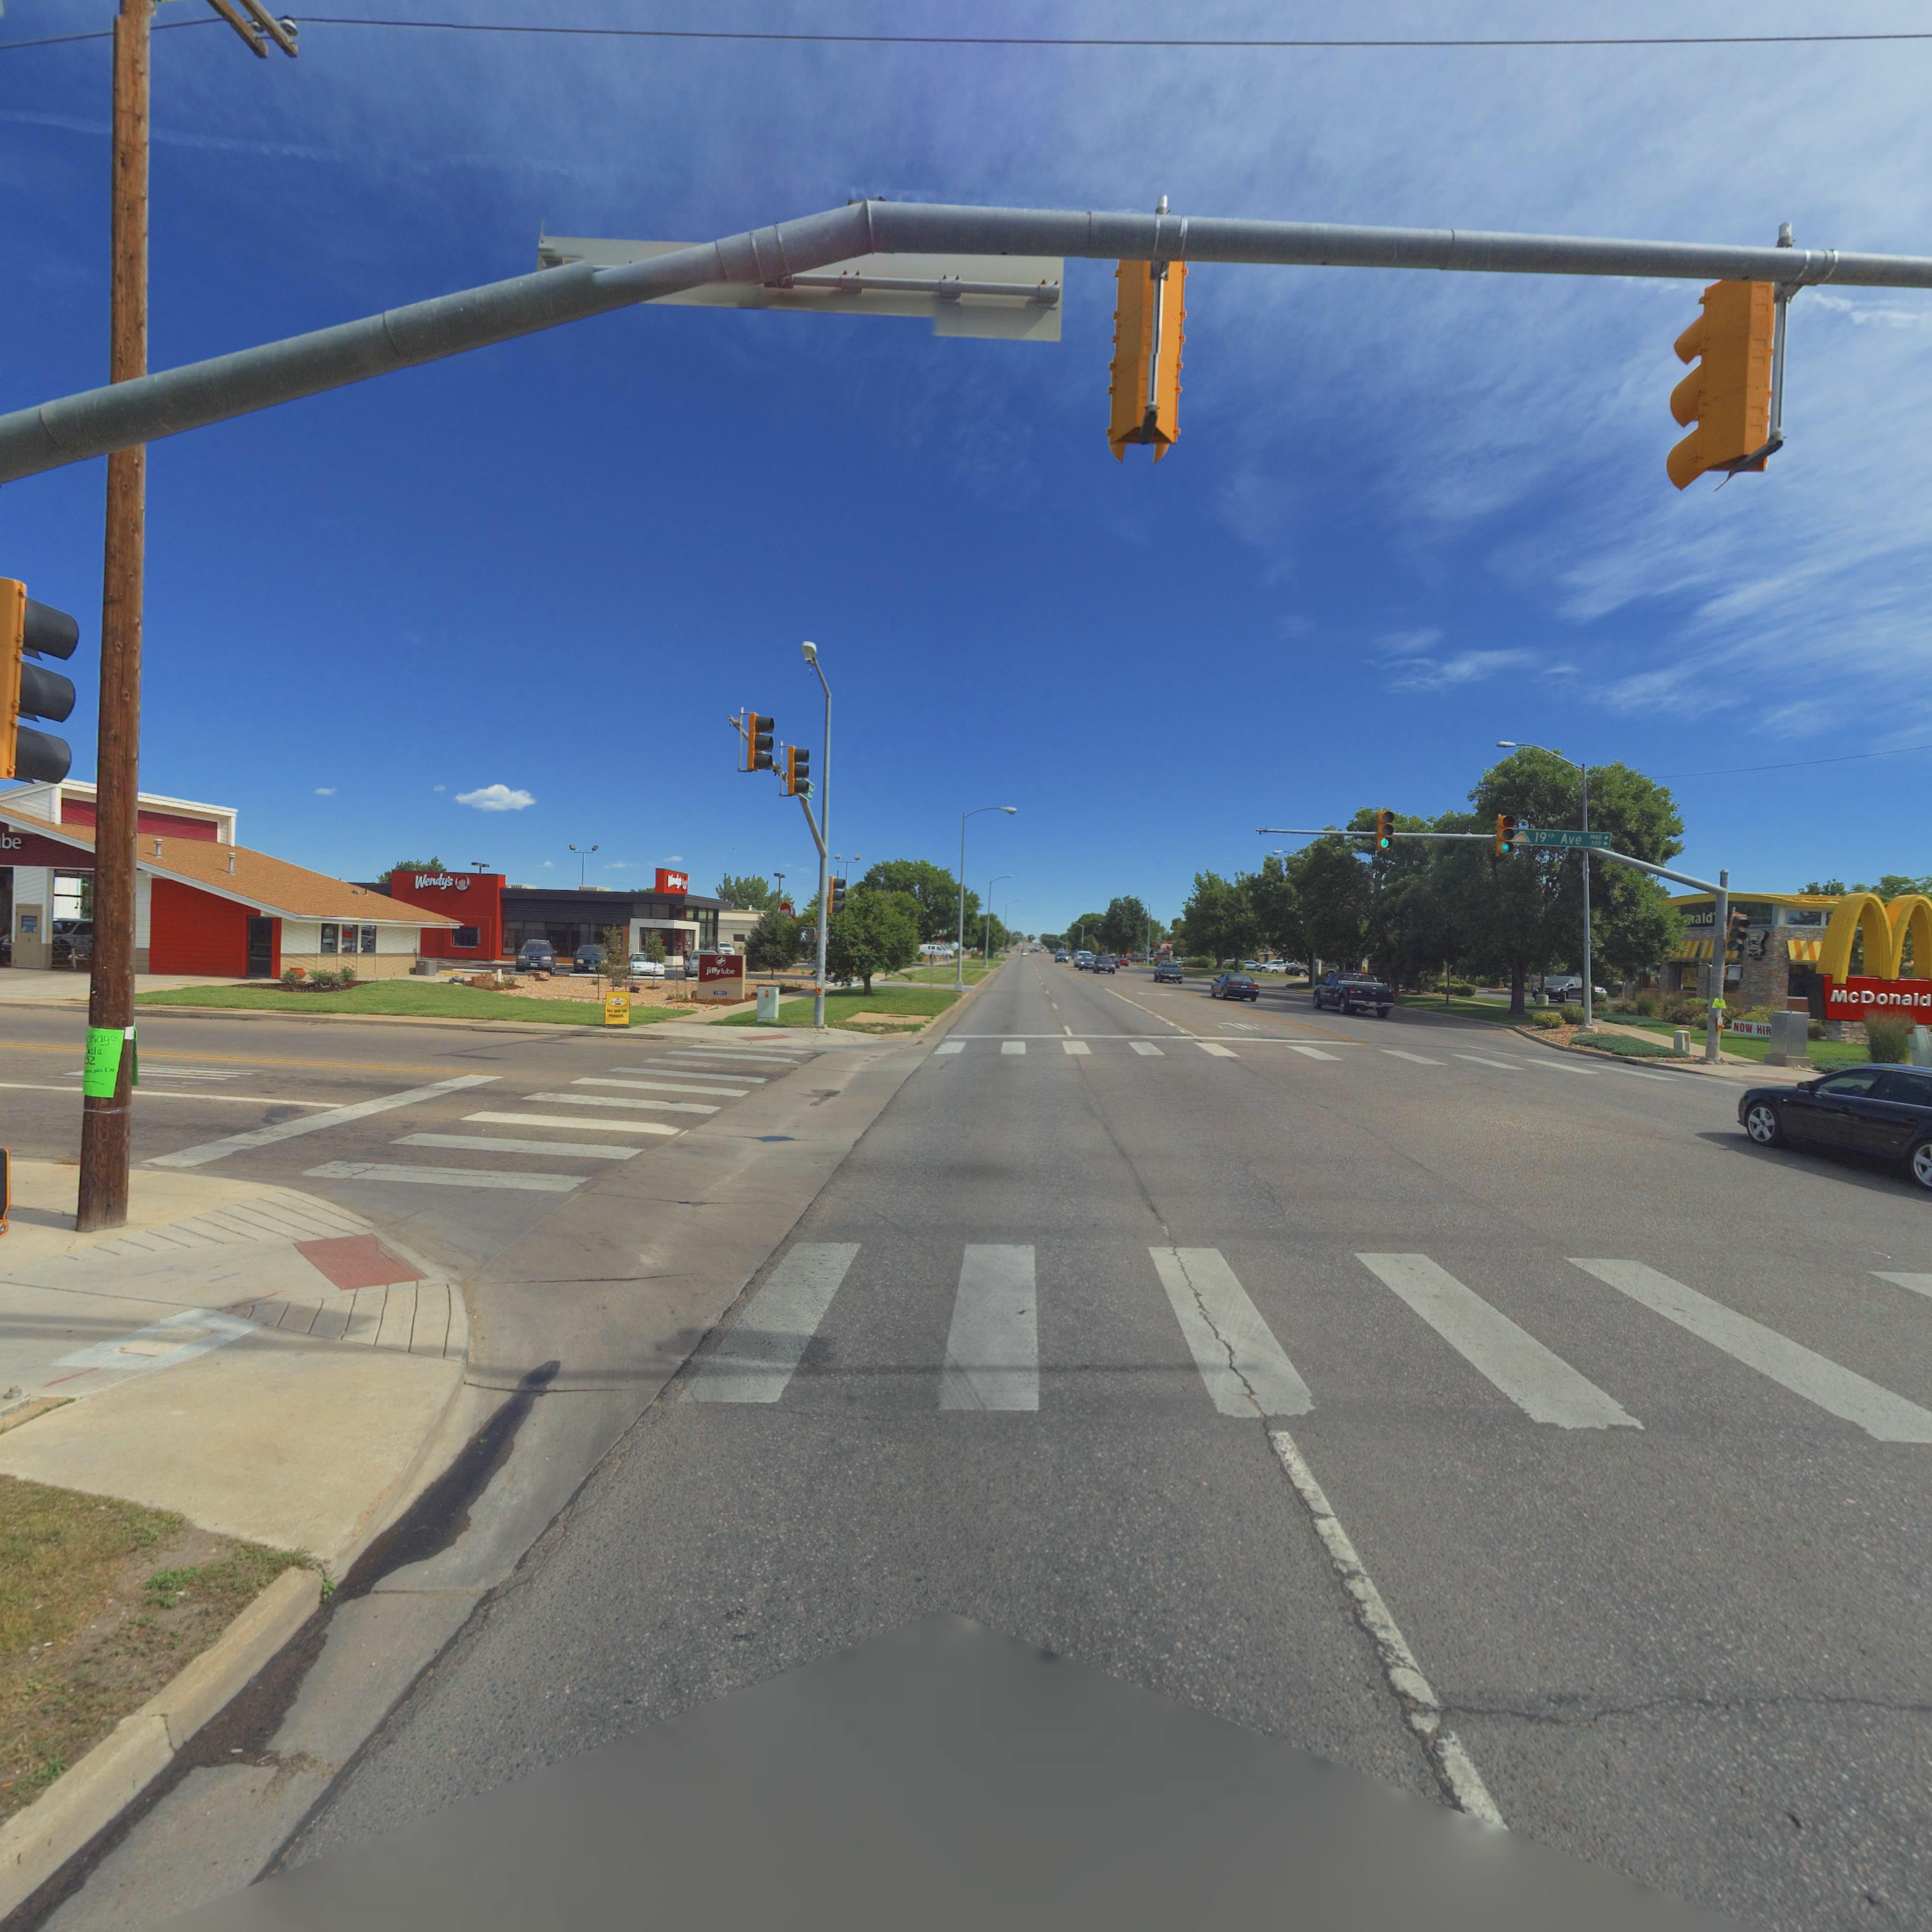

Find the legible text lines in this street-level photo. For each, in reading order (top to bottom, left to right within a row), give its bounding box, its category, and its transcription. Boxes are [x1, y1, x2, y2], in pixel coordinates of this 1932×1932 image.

[1, 832, 22, 850] StreetNumber: be
[1535, 831, 1581, 845] StreetName: 19*h Ave
[1589, 834, 1602, 840] StreetNumberRange: 1900
[1591, 840, 1601, 846] StreetNumberRange: 5*0
[414, 872, 453, 890] BusinessName: Wendy's
[667, 873, 682, 889] BusinessName: We***'s
[1694, 911, 1712, 924] BusinessName: ald
[705, 966, 735, 976] BusinessName: jiffy lube
[715, 990, 725, 995] StreetNumber: 1*01
[1829, 989, 1931, 1006] BusinessName: McDonald